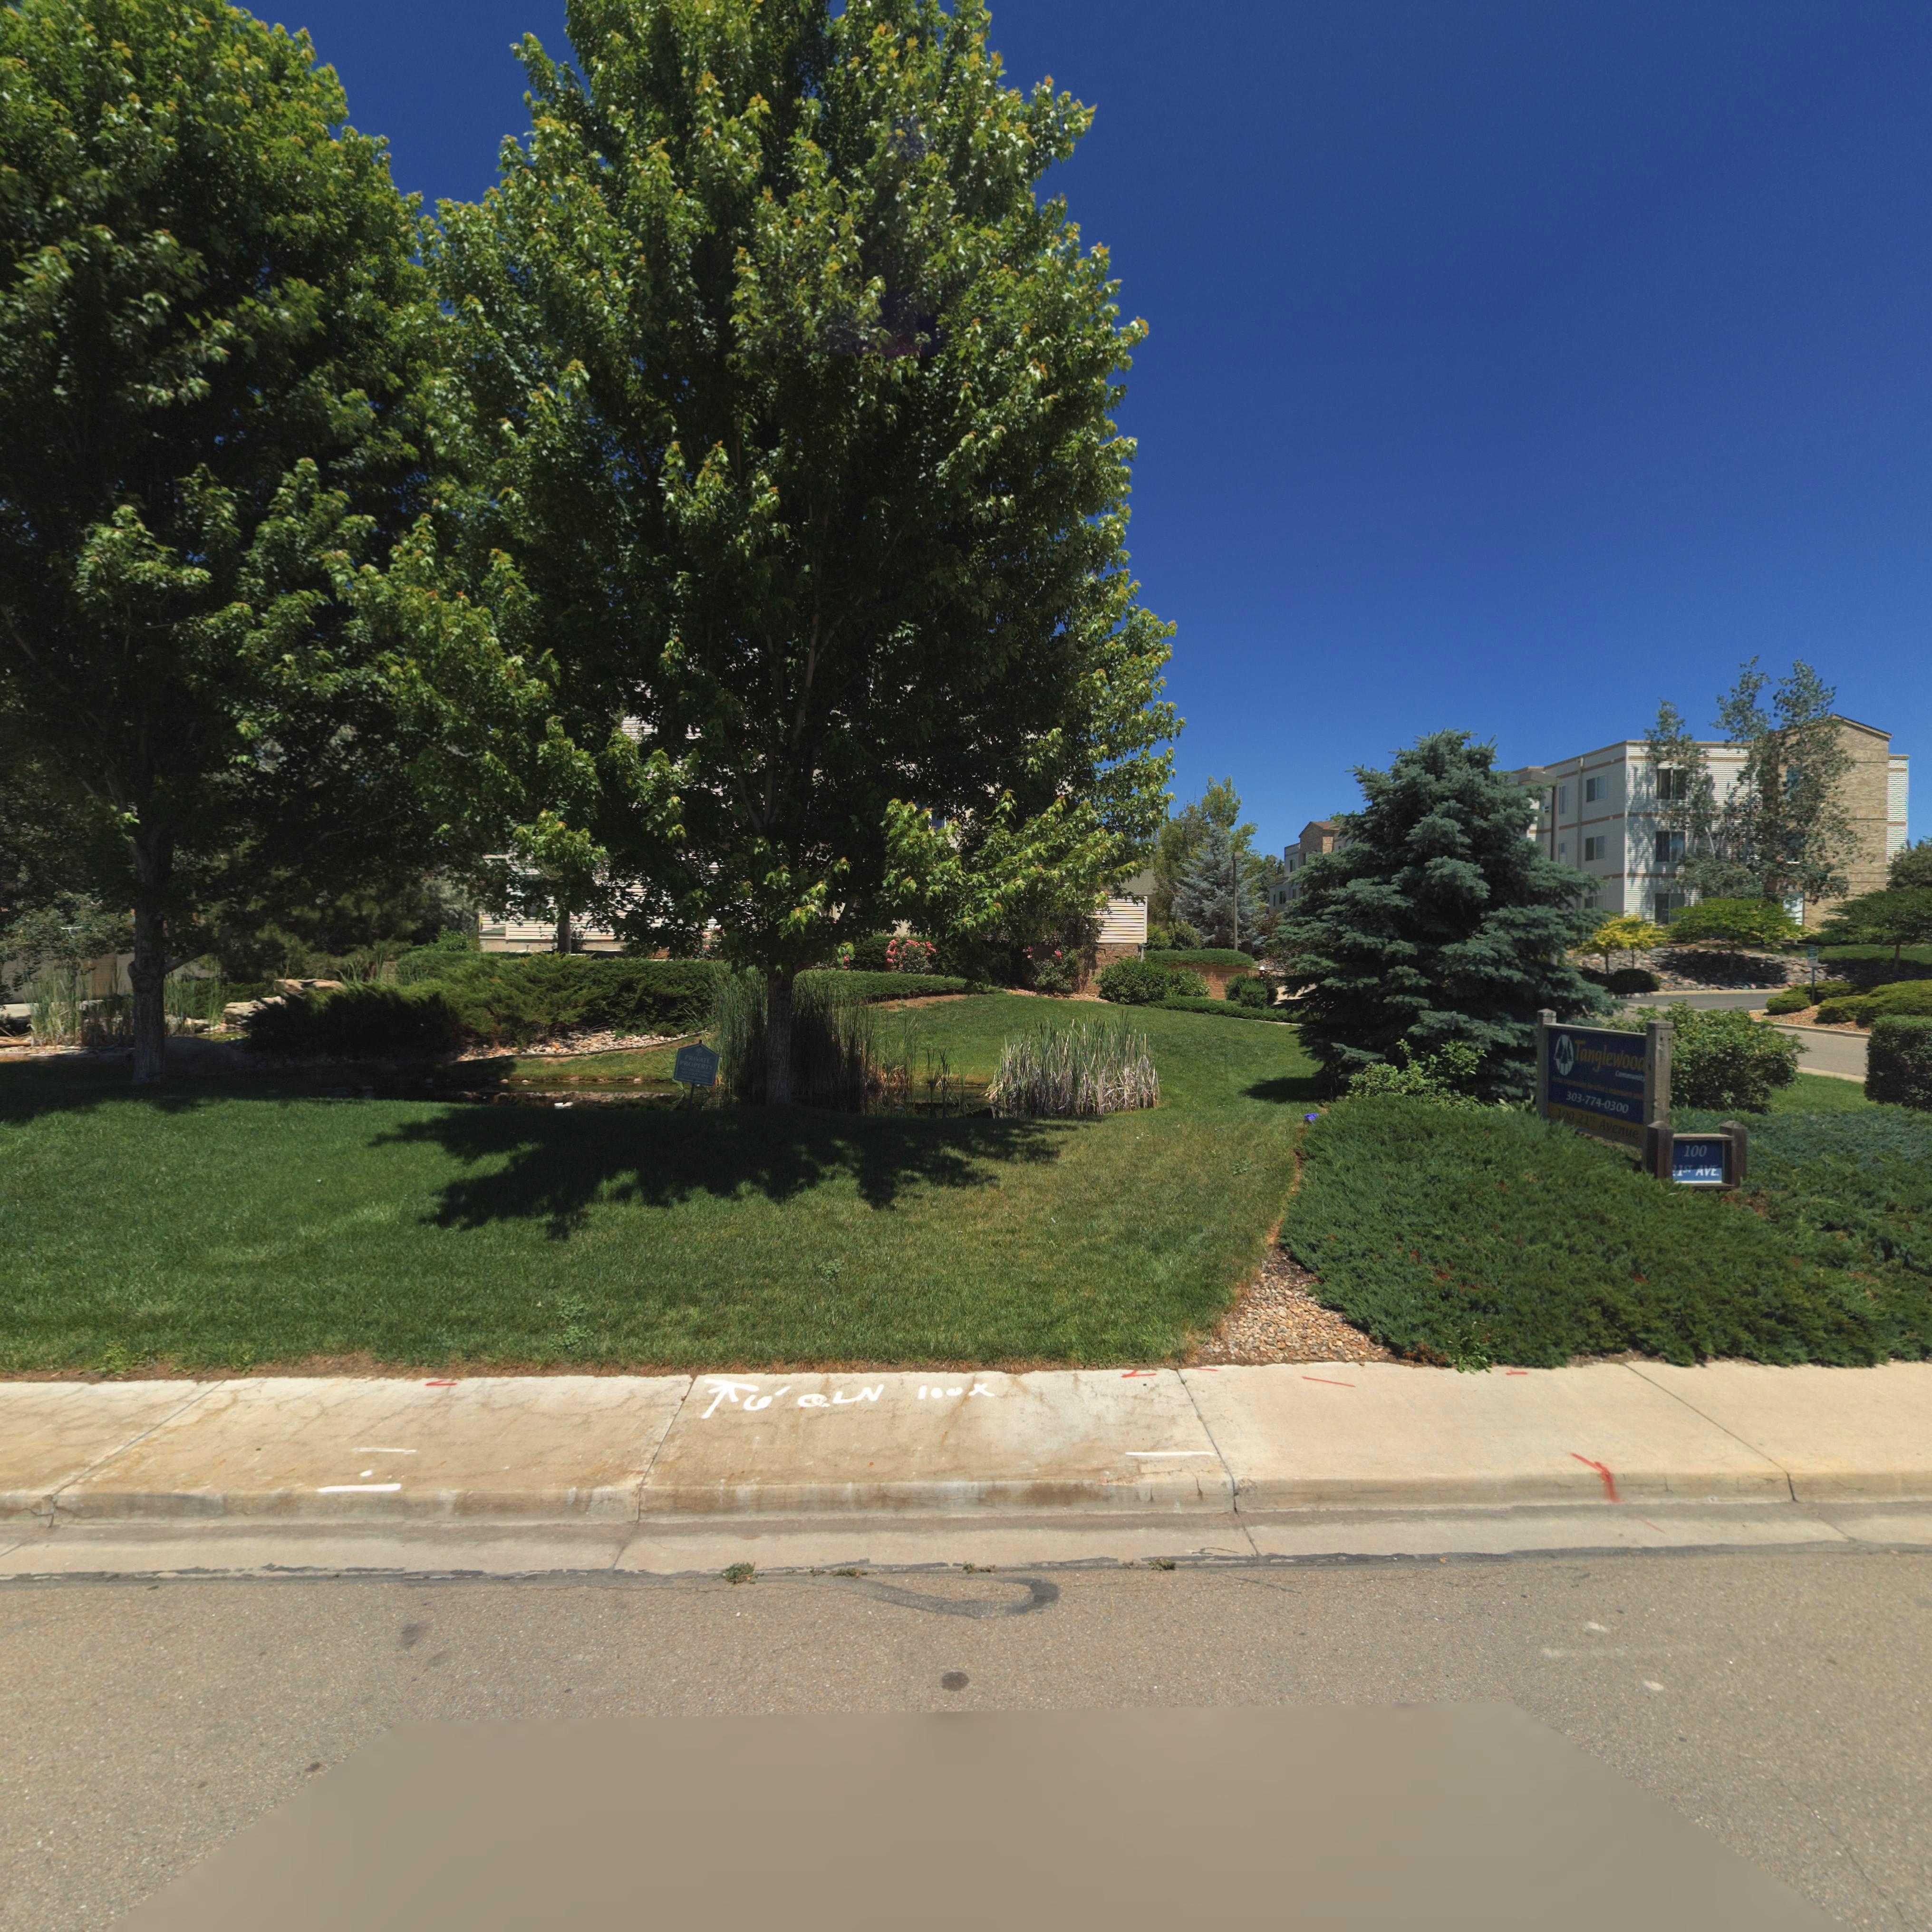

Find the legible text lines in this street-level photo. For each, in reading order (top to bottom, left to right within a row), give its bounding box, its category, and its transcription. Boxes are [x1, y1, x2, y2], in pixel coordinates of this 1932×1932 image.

[1556, 1107, 1575, 1121] StreetNumber: 100
[1576, 1112, 1639, 1140] StreetName: 21st Avenue
[1682, 1144, 1708, 1157] StreetNumber: 100
[1671, 1164, 1719, 1177] StreetName: 21ST AVE.